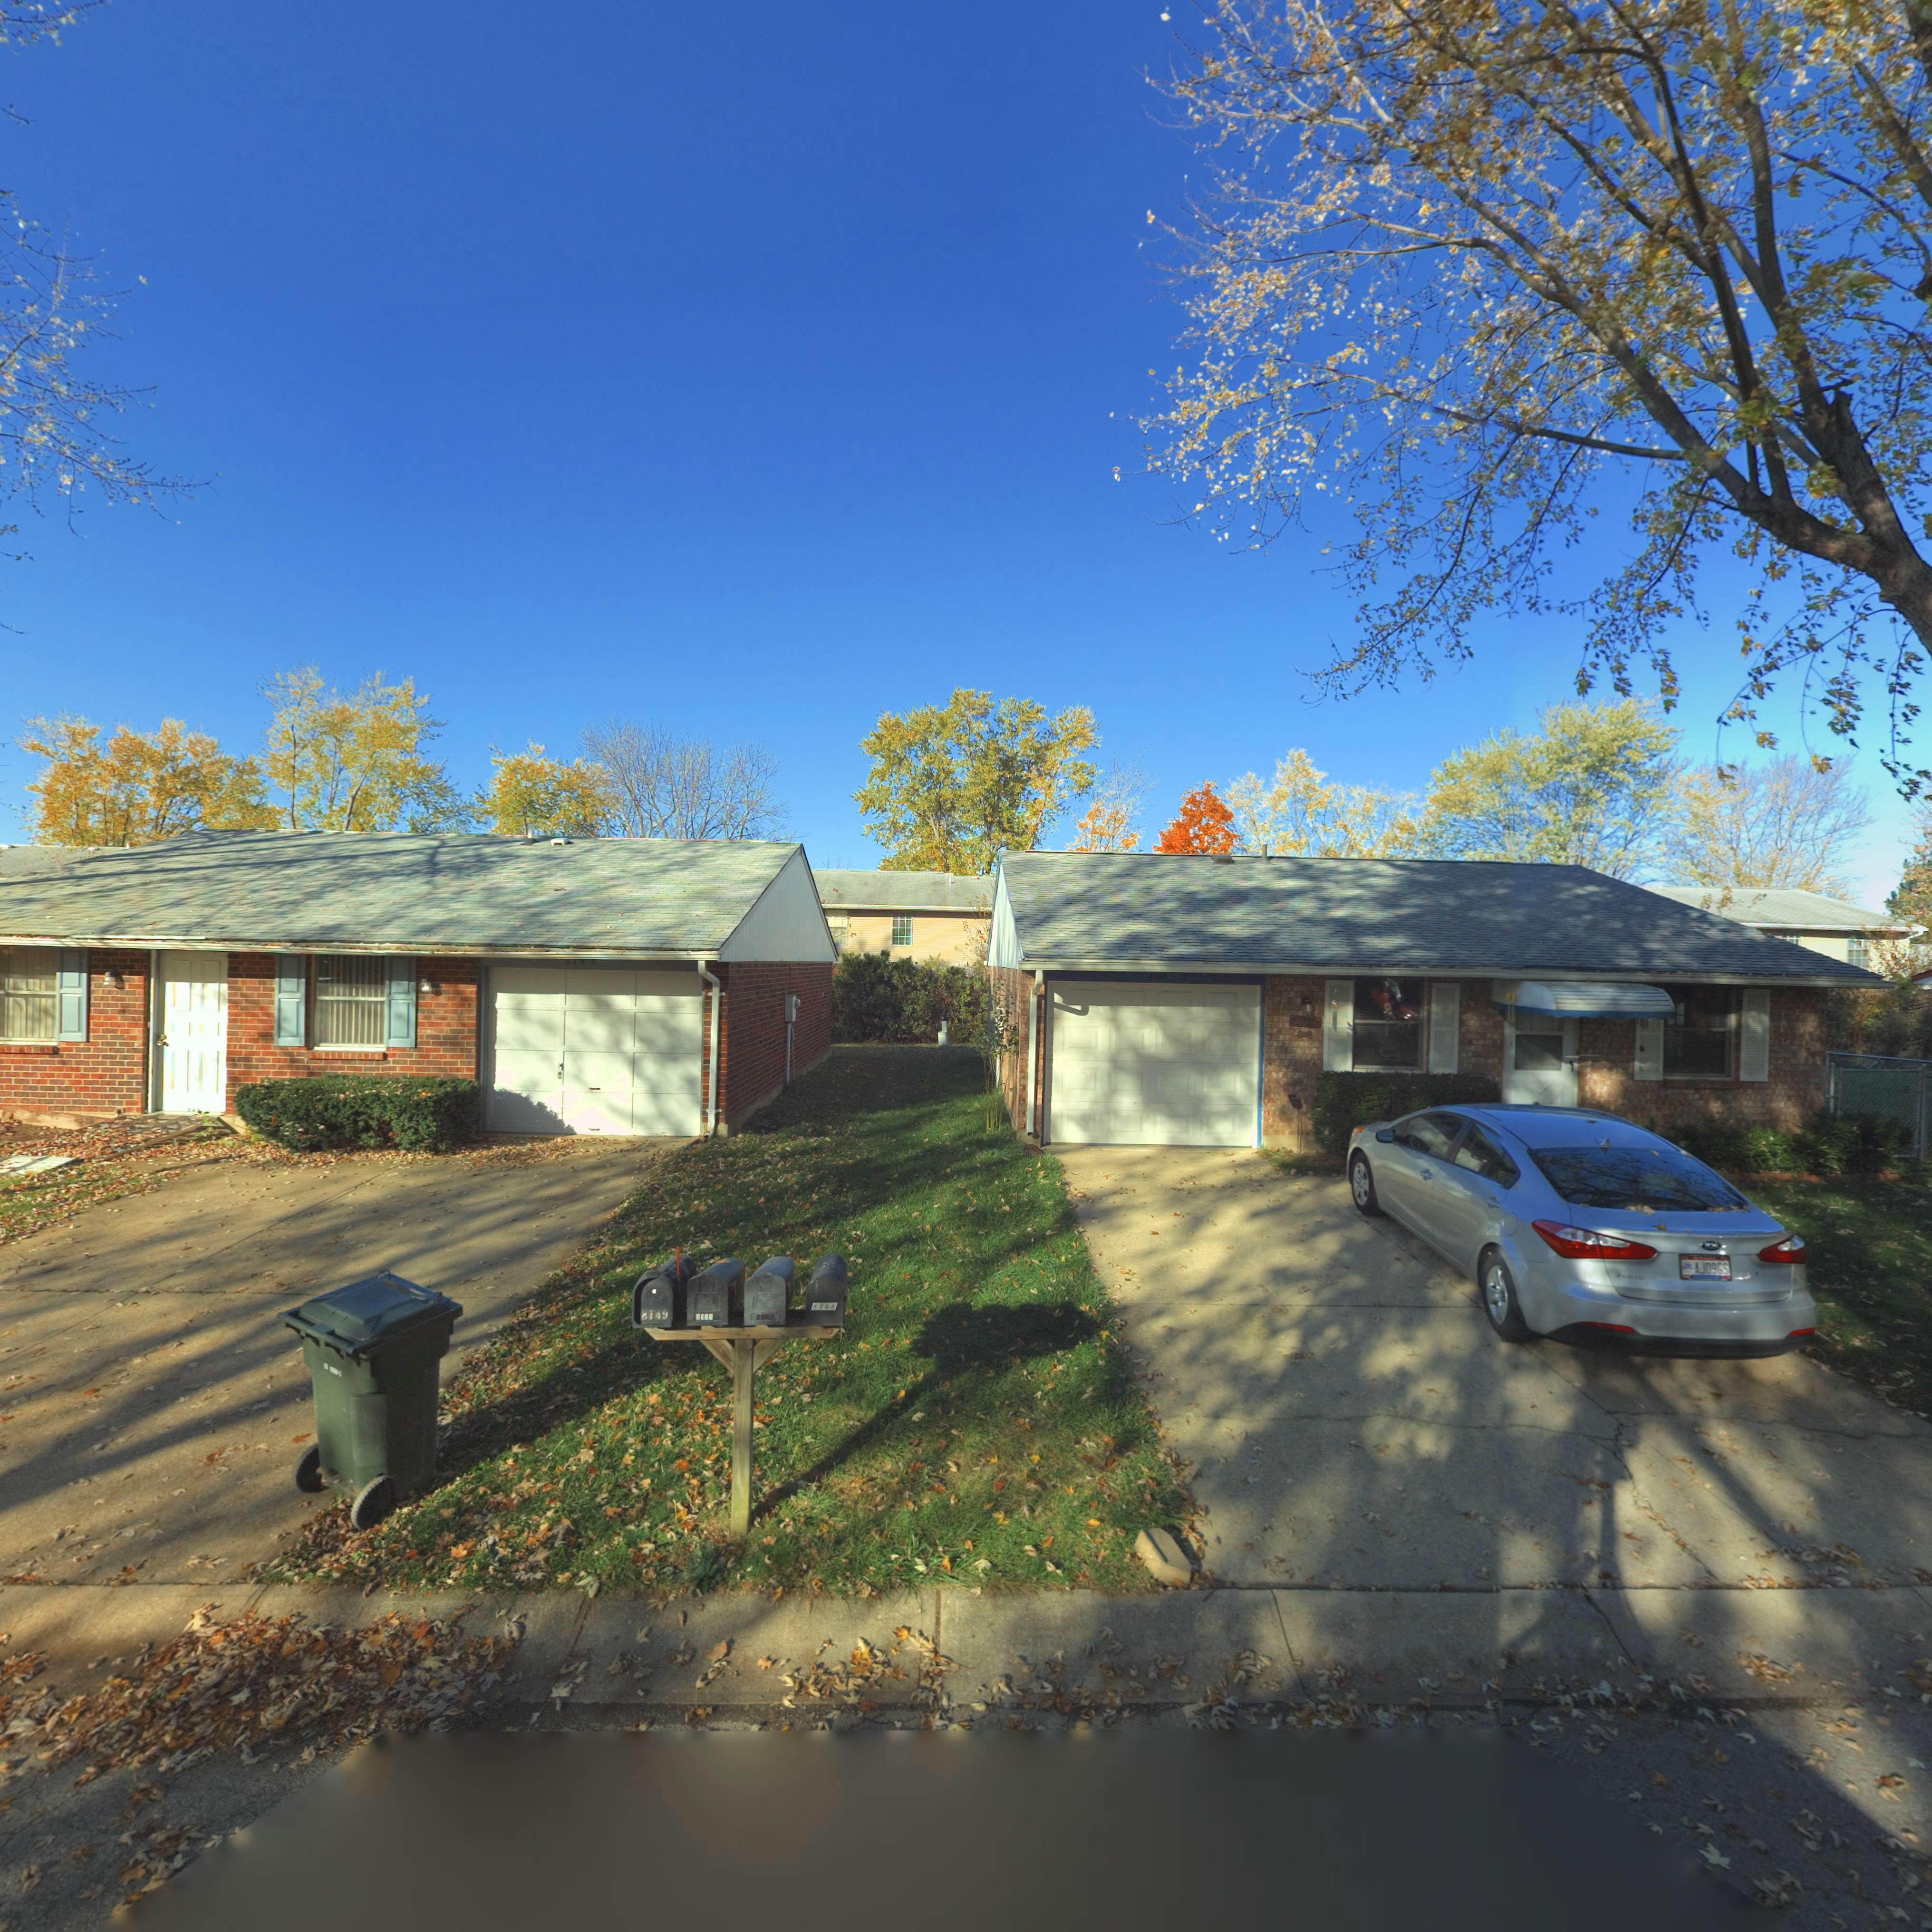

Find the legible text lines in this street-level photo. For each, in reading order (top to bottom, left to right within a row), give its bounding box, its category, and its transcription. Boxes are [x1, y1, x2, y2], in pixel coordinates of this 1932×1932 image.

[564, 958, 597, 965] StreetNumber: 8149
[1147, 971, 1168, 981] StreetNumber: 8155
[811, 1302, 839, 1310] StreetNumber: 8166
[641, 1308, 669, 1321] StreetNumber: 8149
[696, 1314, 713, 1320] StreetNumber: 8155